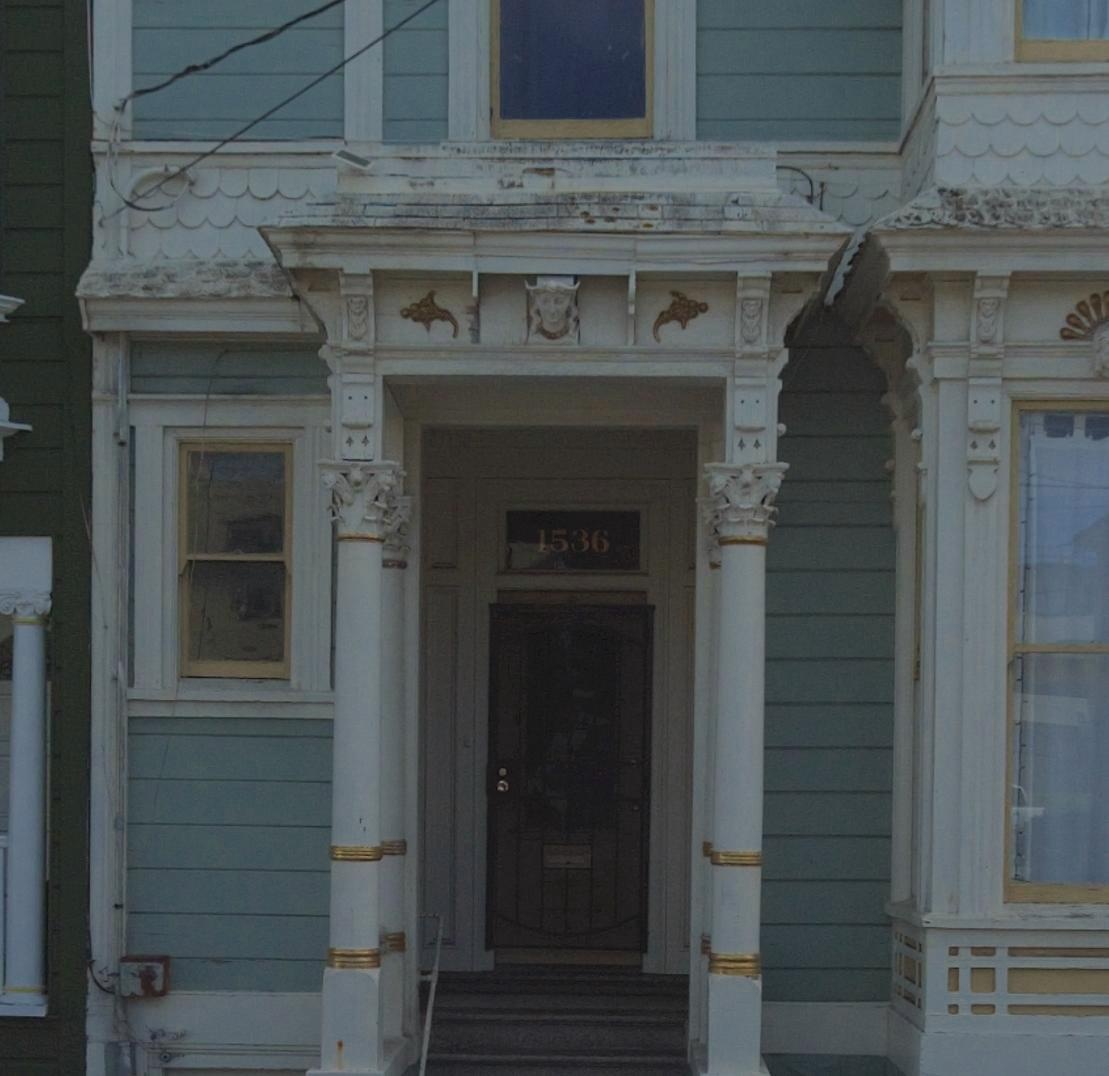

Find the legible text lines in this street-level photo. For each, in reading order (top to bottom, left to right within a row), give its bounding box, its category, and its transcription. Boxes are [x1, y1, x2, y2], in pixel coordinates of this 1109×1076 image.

[535, 527, 612, 556] StreetNumber: 1536